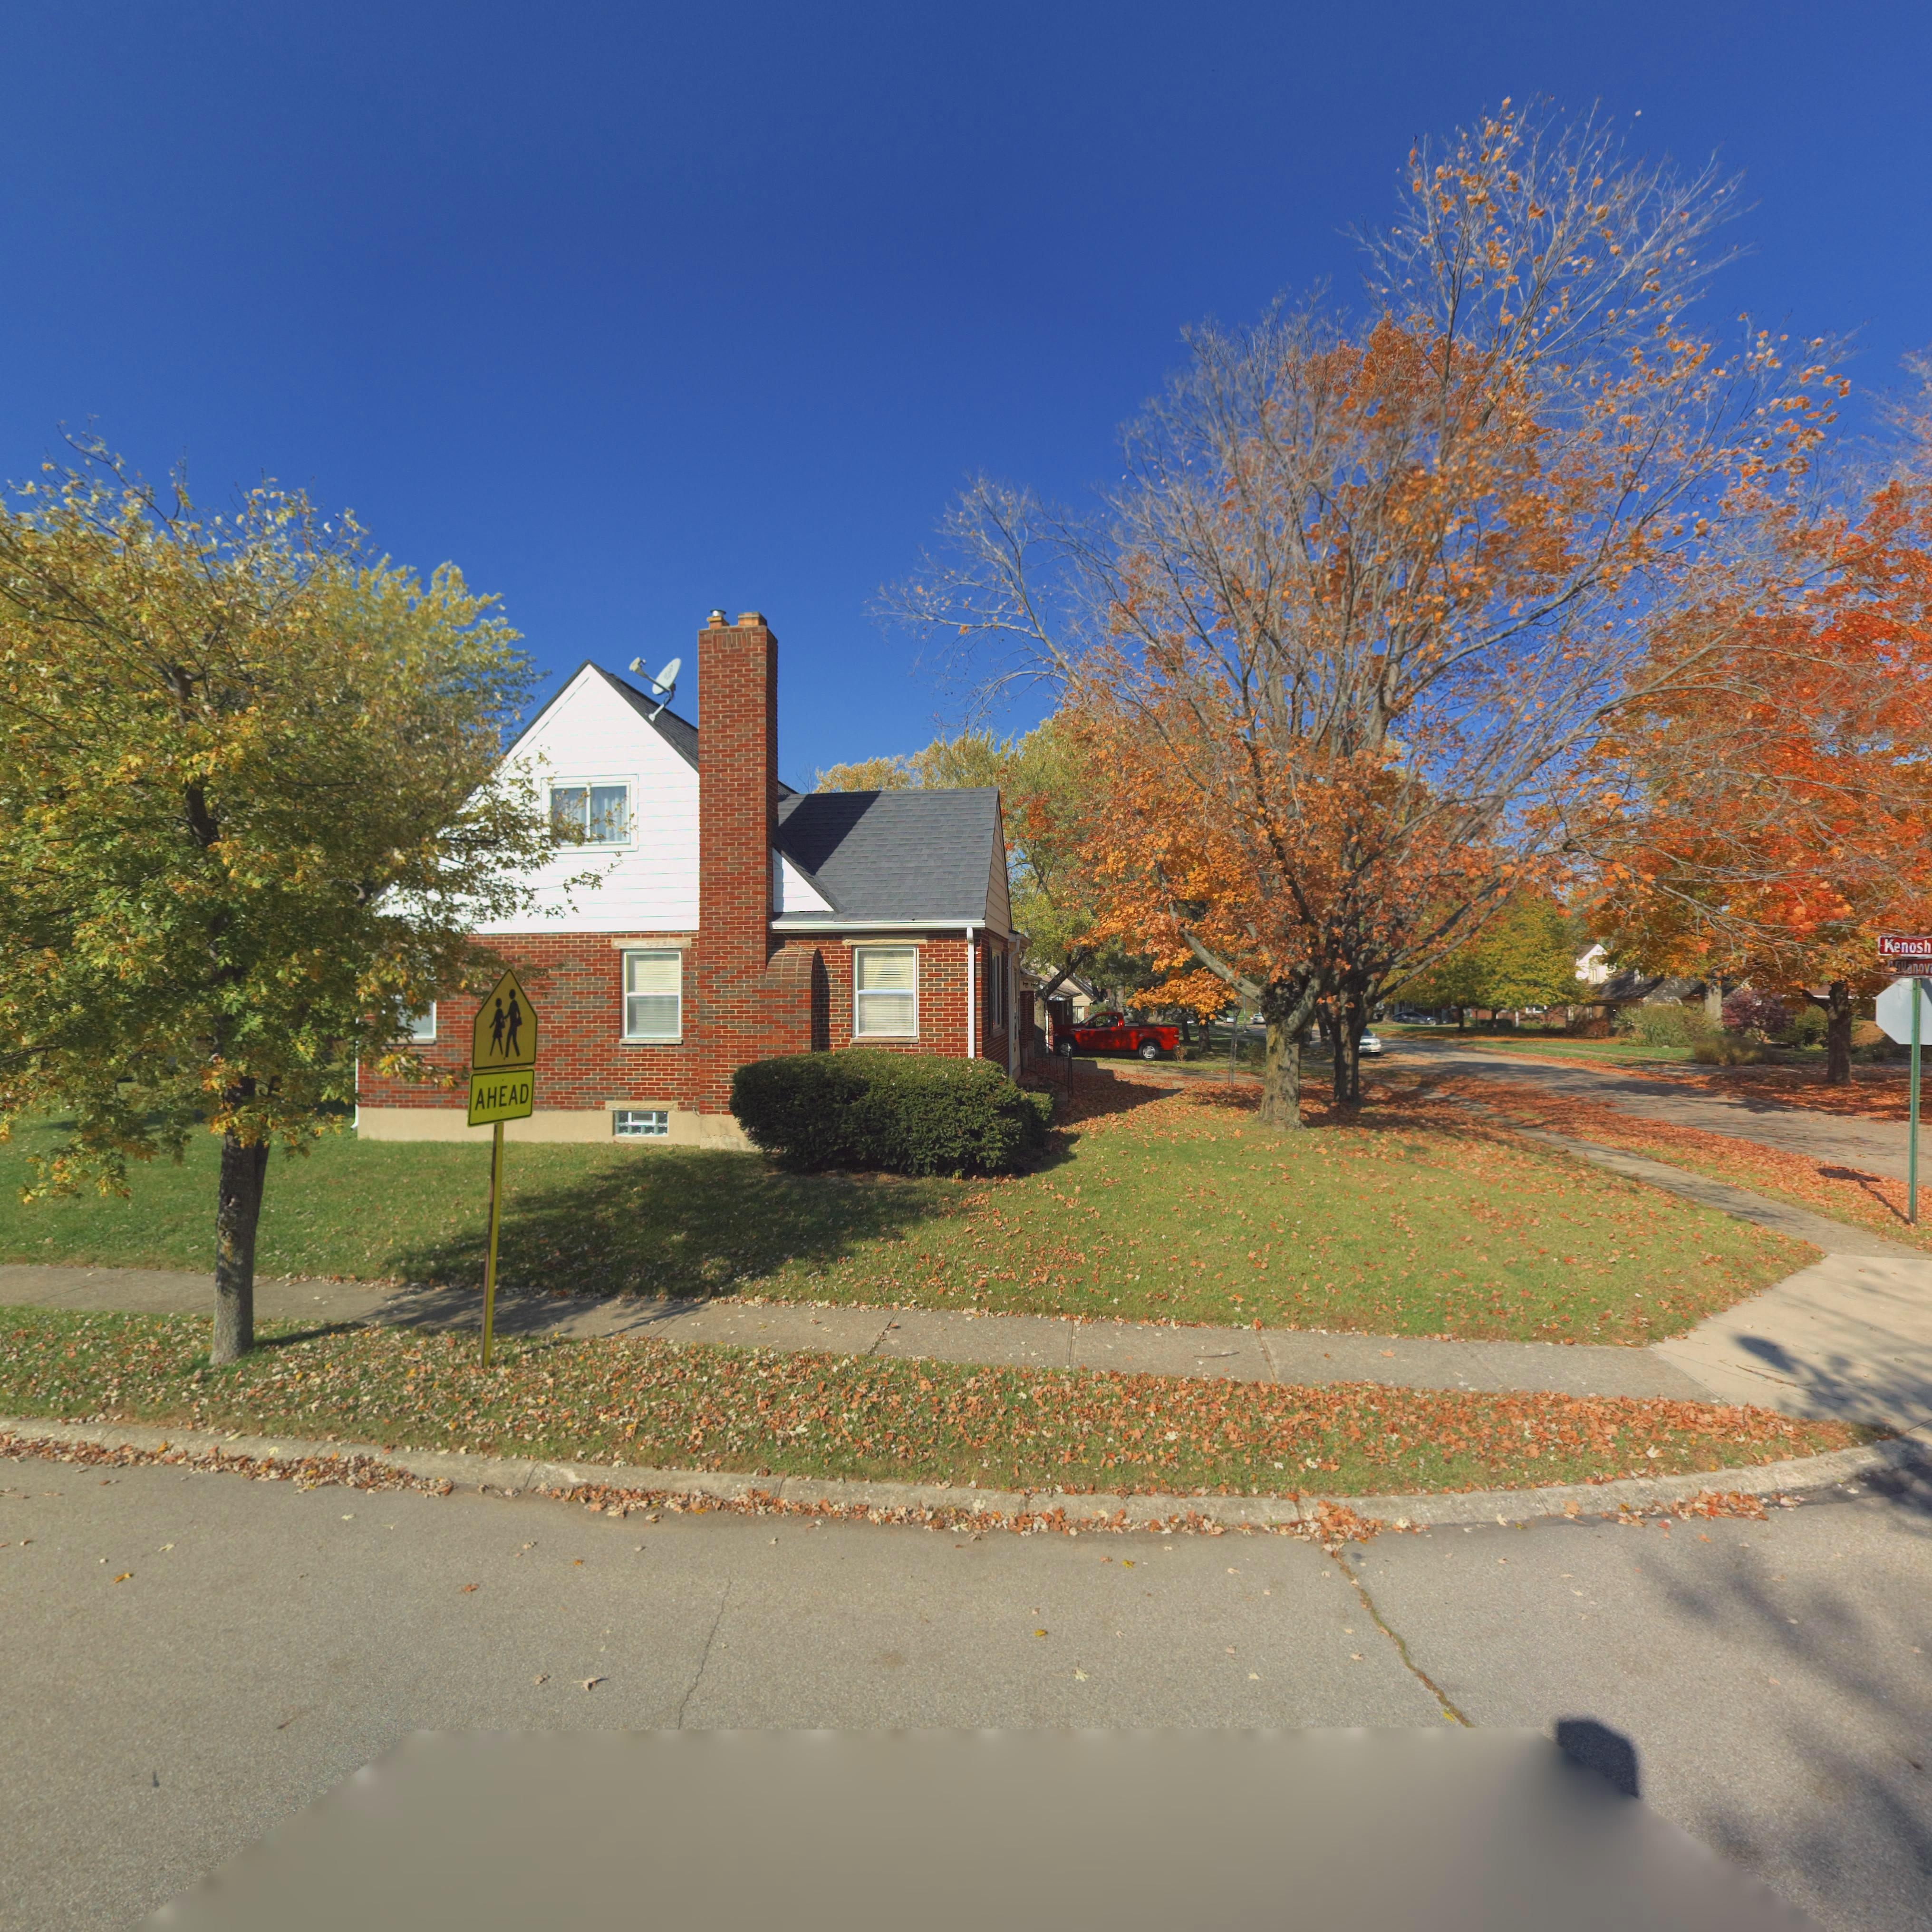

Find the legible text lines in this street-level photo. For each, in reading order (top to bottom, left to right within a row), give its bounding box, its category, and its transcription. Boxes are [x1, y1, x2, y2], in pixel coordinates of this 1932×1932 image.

[1884, 938, 1931, 954] StreetName: Kenosh
[1890, 960, 1931, 975] StreetName: *i**an*v
[473, 1083, 529, 1111] None: AHEAD